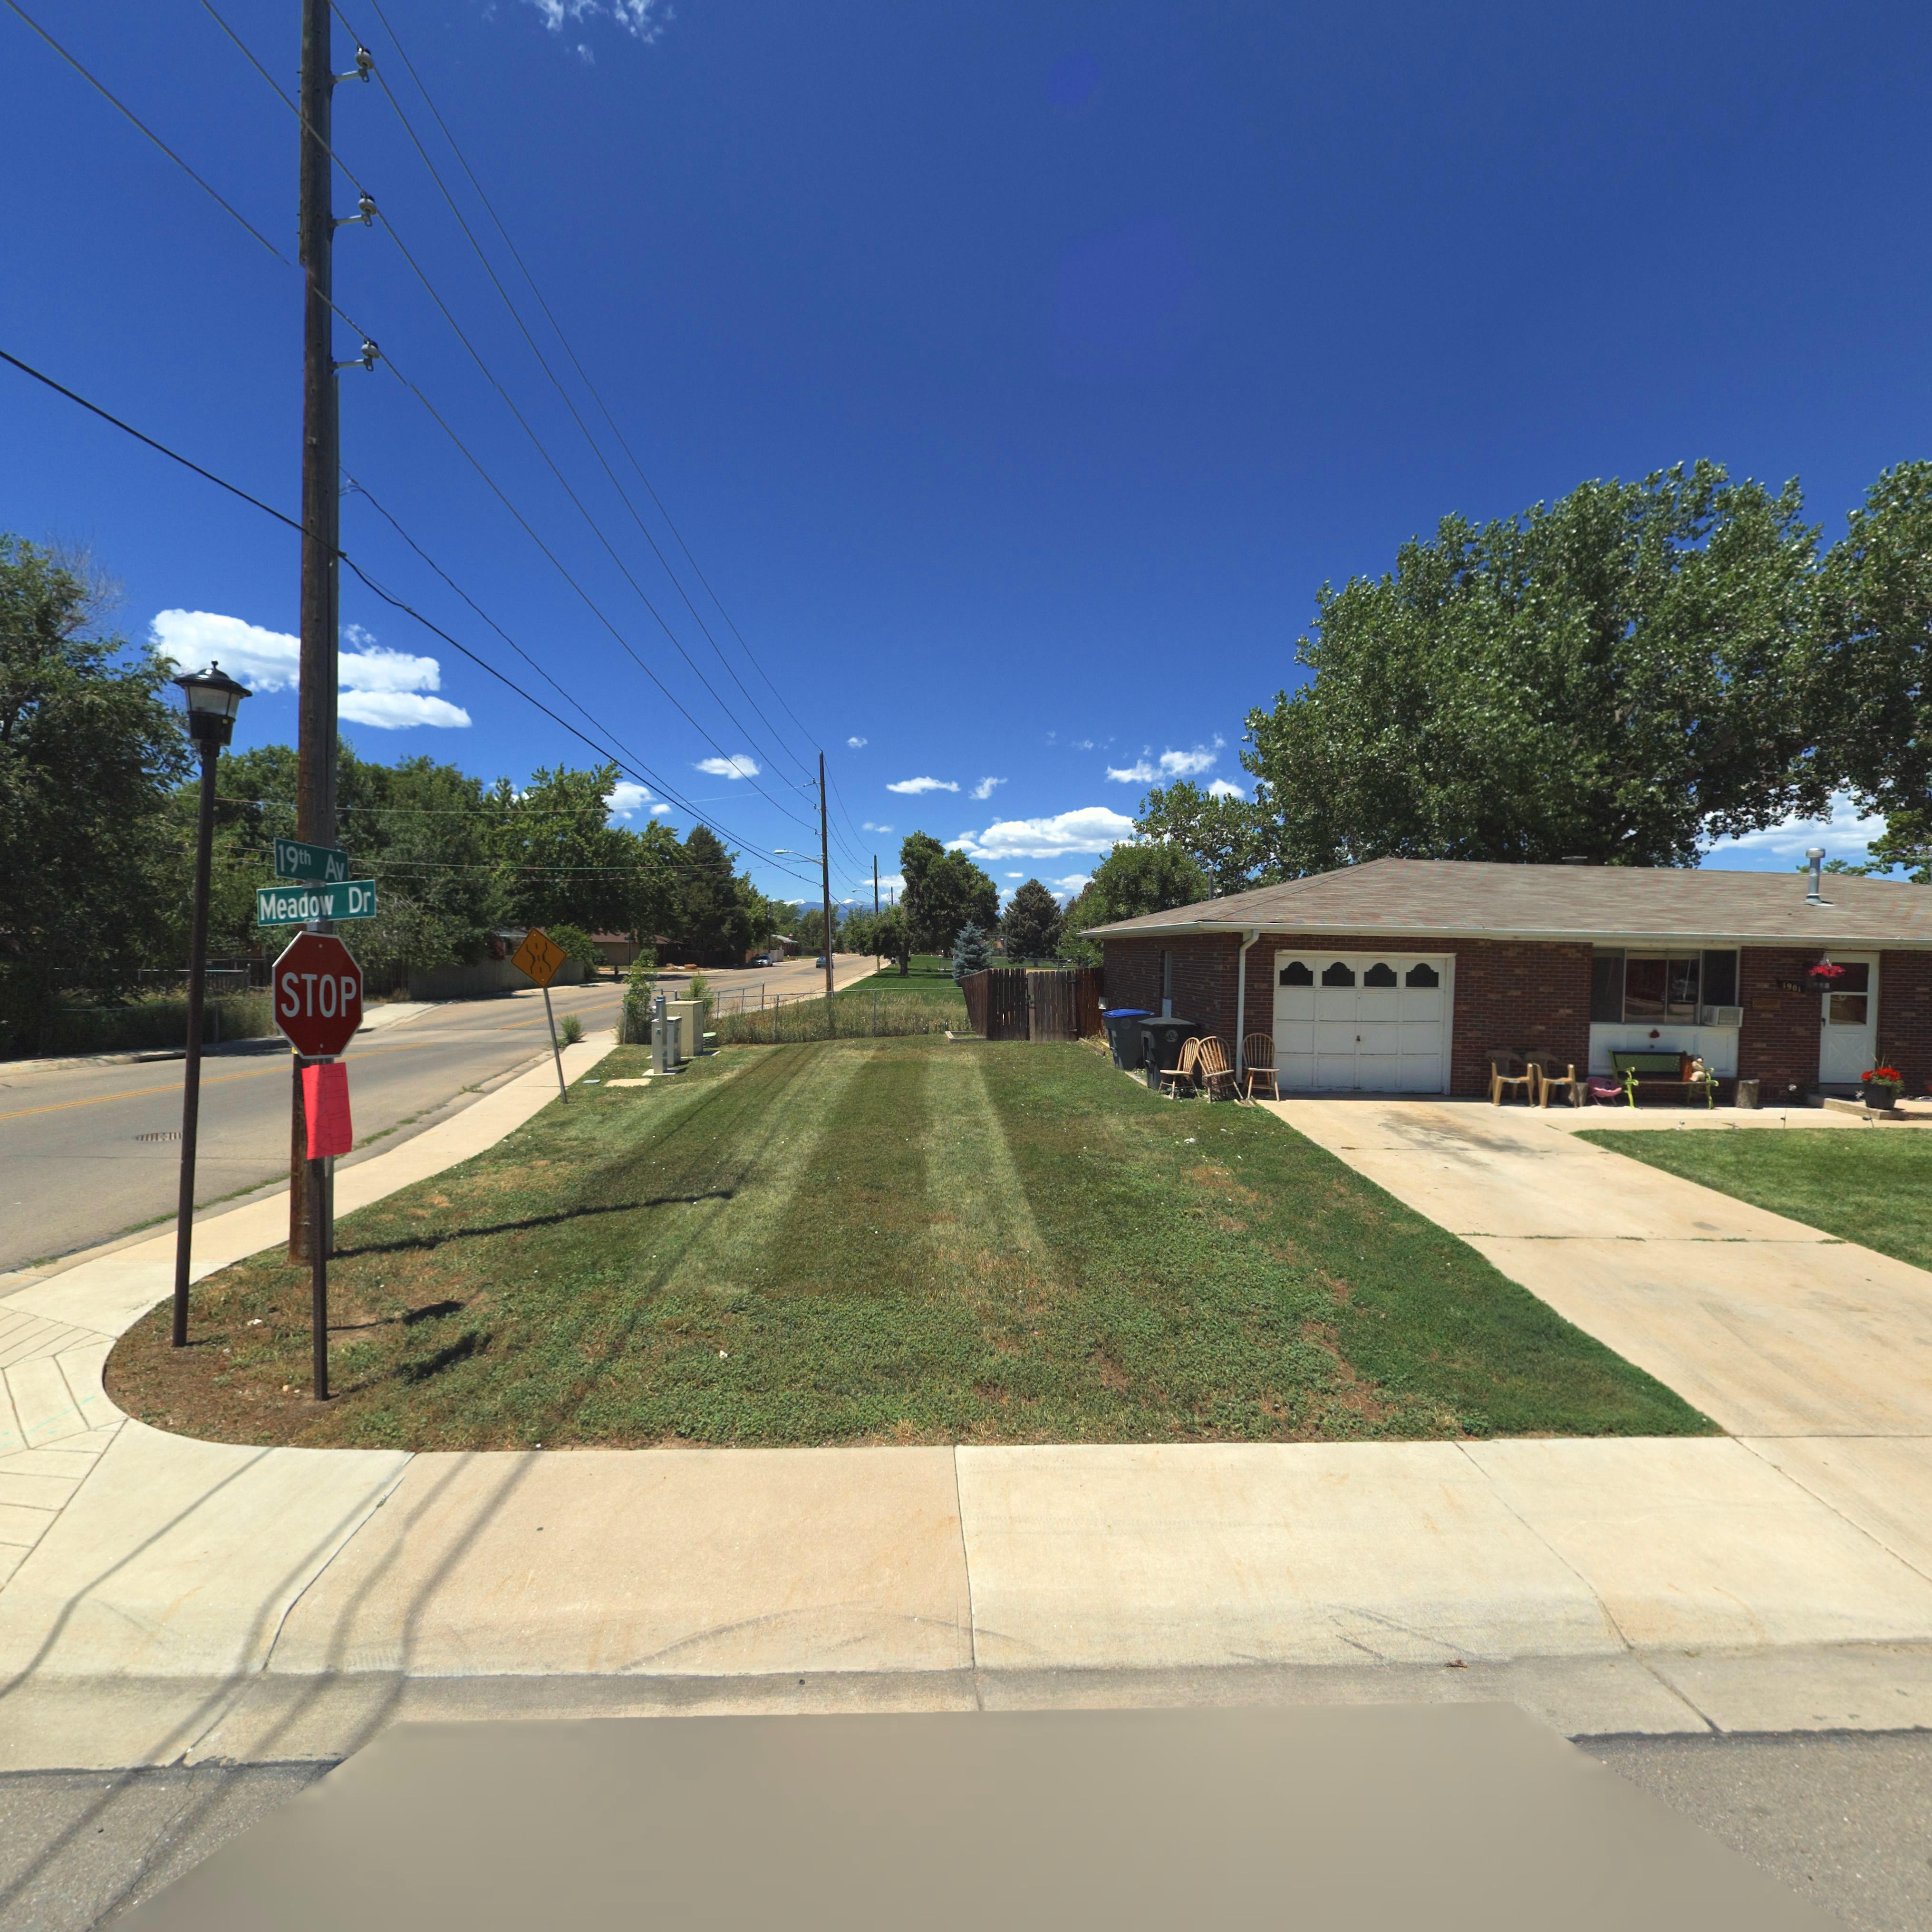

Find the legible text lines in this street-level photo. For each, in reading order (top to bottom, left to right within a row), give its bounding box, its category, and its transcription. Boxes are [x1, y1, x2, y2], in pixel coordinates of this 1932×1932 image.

[278, 843, 345, 881] StreetName: 19th Av
[259, 886, 372, 921] StreetName: Meadow Dr